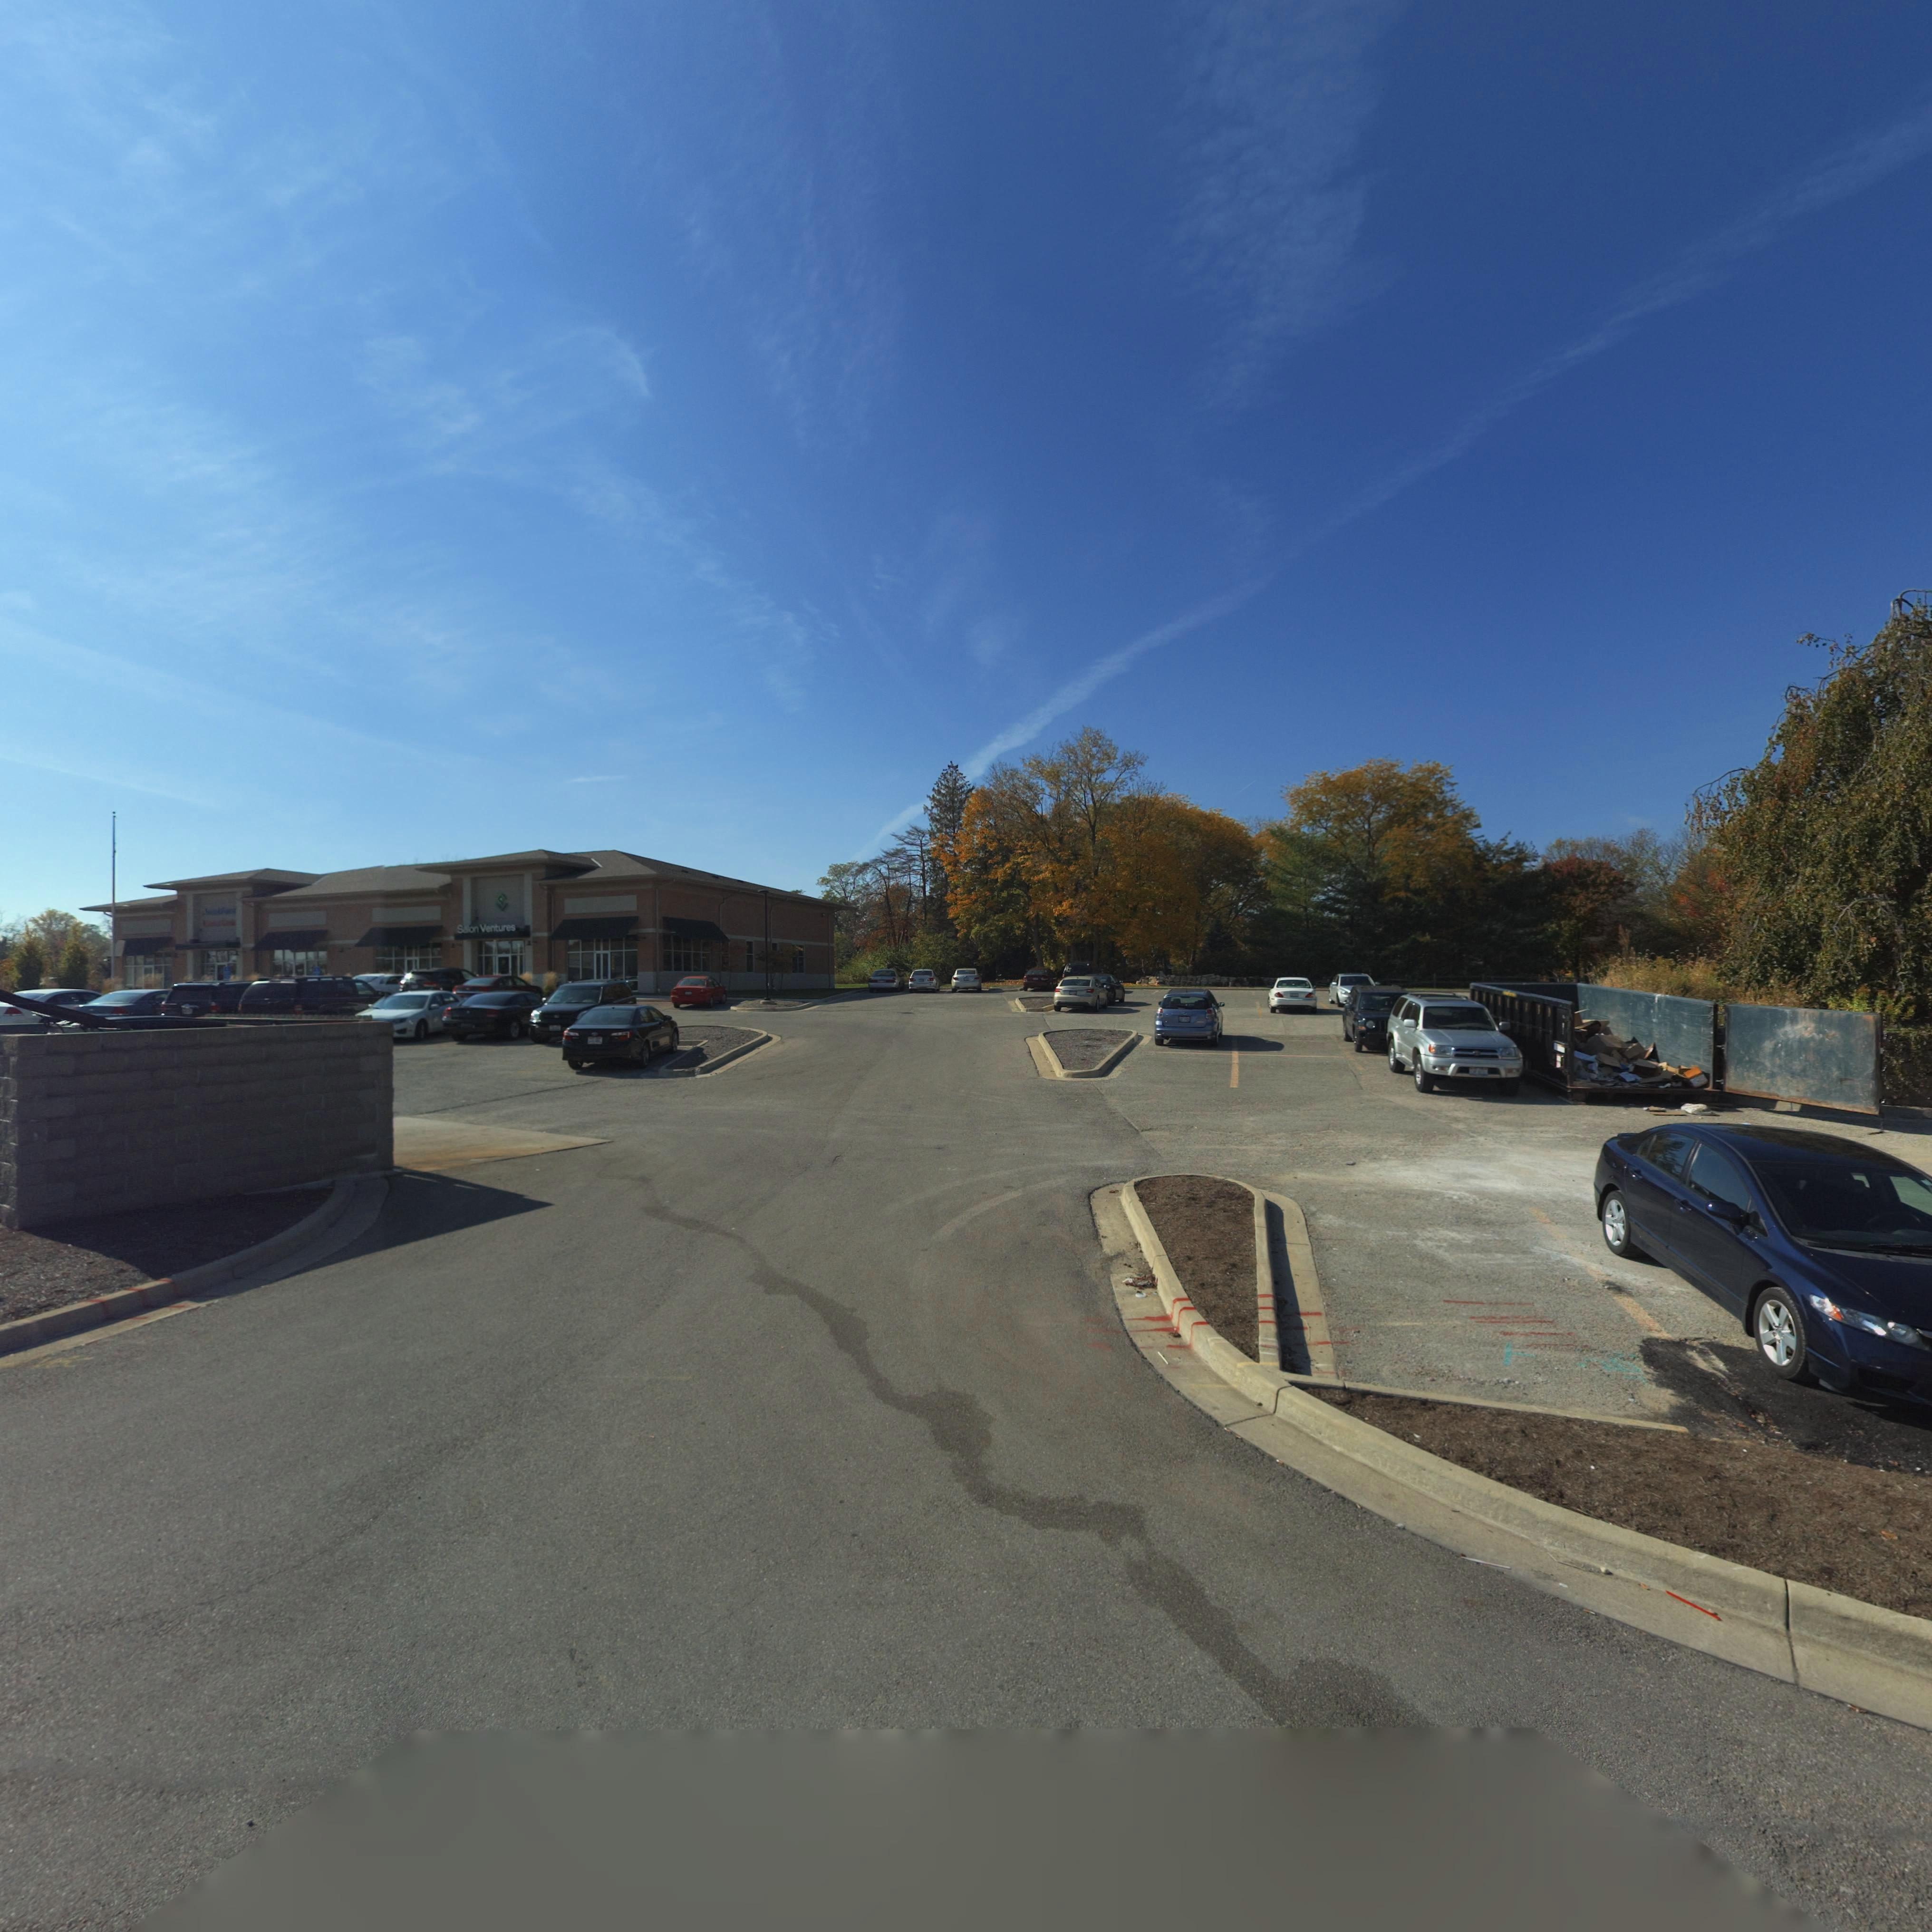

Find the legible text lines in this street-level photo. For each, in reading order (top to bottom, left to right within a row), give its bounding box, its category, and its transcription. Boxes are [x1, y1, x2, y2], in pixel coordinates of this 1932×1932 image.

[455, 922, 518, 935] BusinessName: Salon Ventures